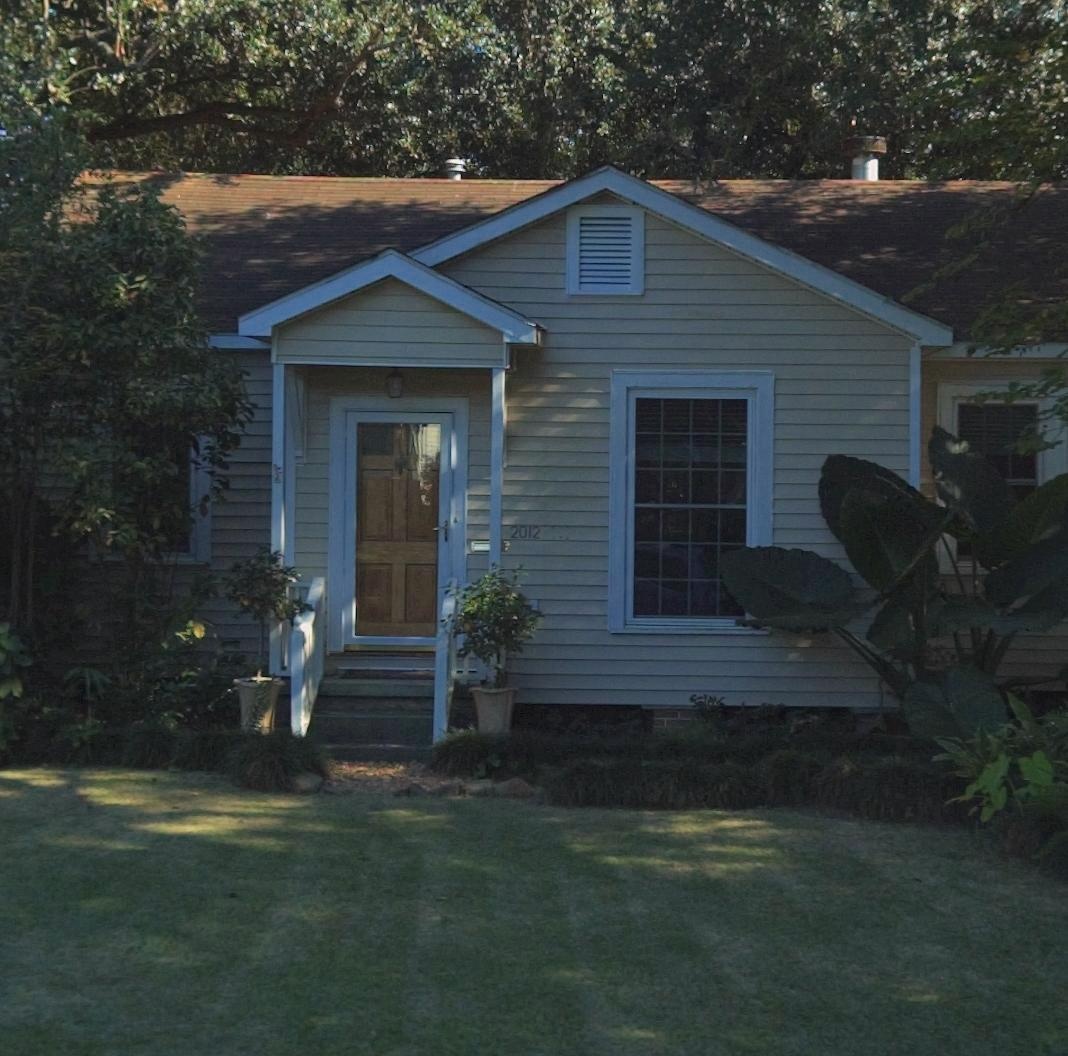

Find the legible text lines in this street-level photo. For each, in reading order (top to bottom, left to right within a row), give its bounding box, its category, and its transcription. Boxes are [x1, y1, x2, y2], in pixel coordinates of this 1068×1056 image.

[508, 523, 542, 541] StreetNumber: 2012